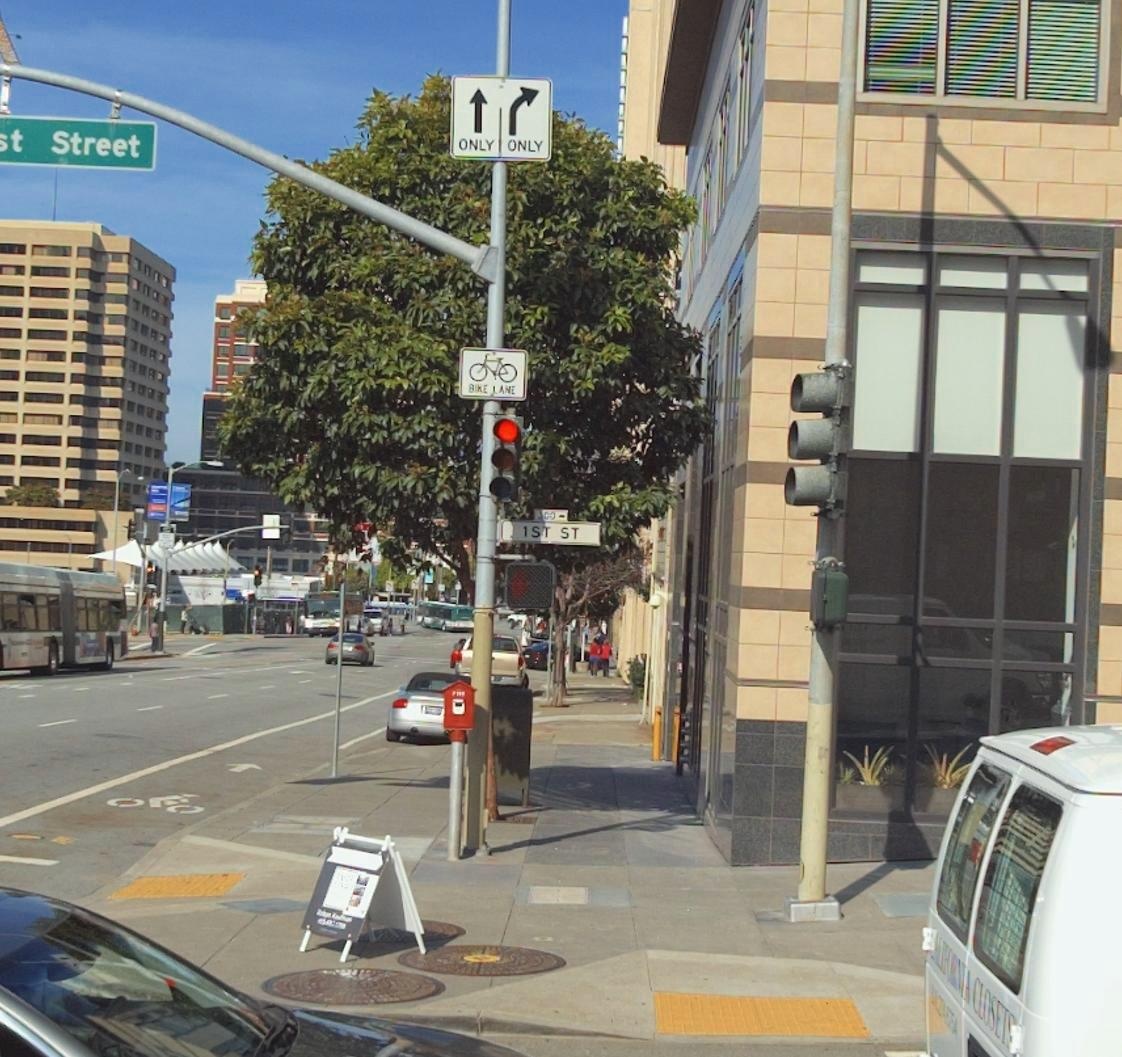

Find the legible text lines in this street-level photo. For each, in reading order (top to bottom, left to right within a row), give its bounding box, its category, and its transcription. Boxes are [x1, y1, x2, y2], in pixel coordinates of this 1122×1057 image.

[7, 127, 144, 161] StreetName: t street
[456, 135, 498, 154] None: ONLY
[505, 136, 547, 155] None: ONLY
[466, 381, 518, 398] None: B*KE LANE
[534, 508, 568, 522] StreetNumberRange: *00->
[521, 524, 582, 543] StreetName: 1ST ST > [100]
[970, 975, 993, 1031] None: CLO